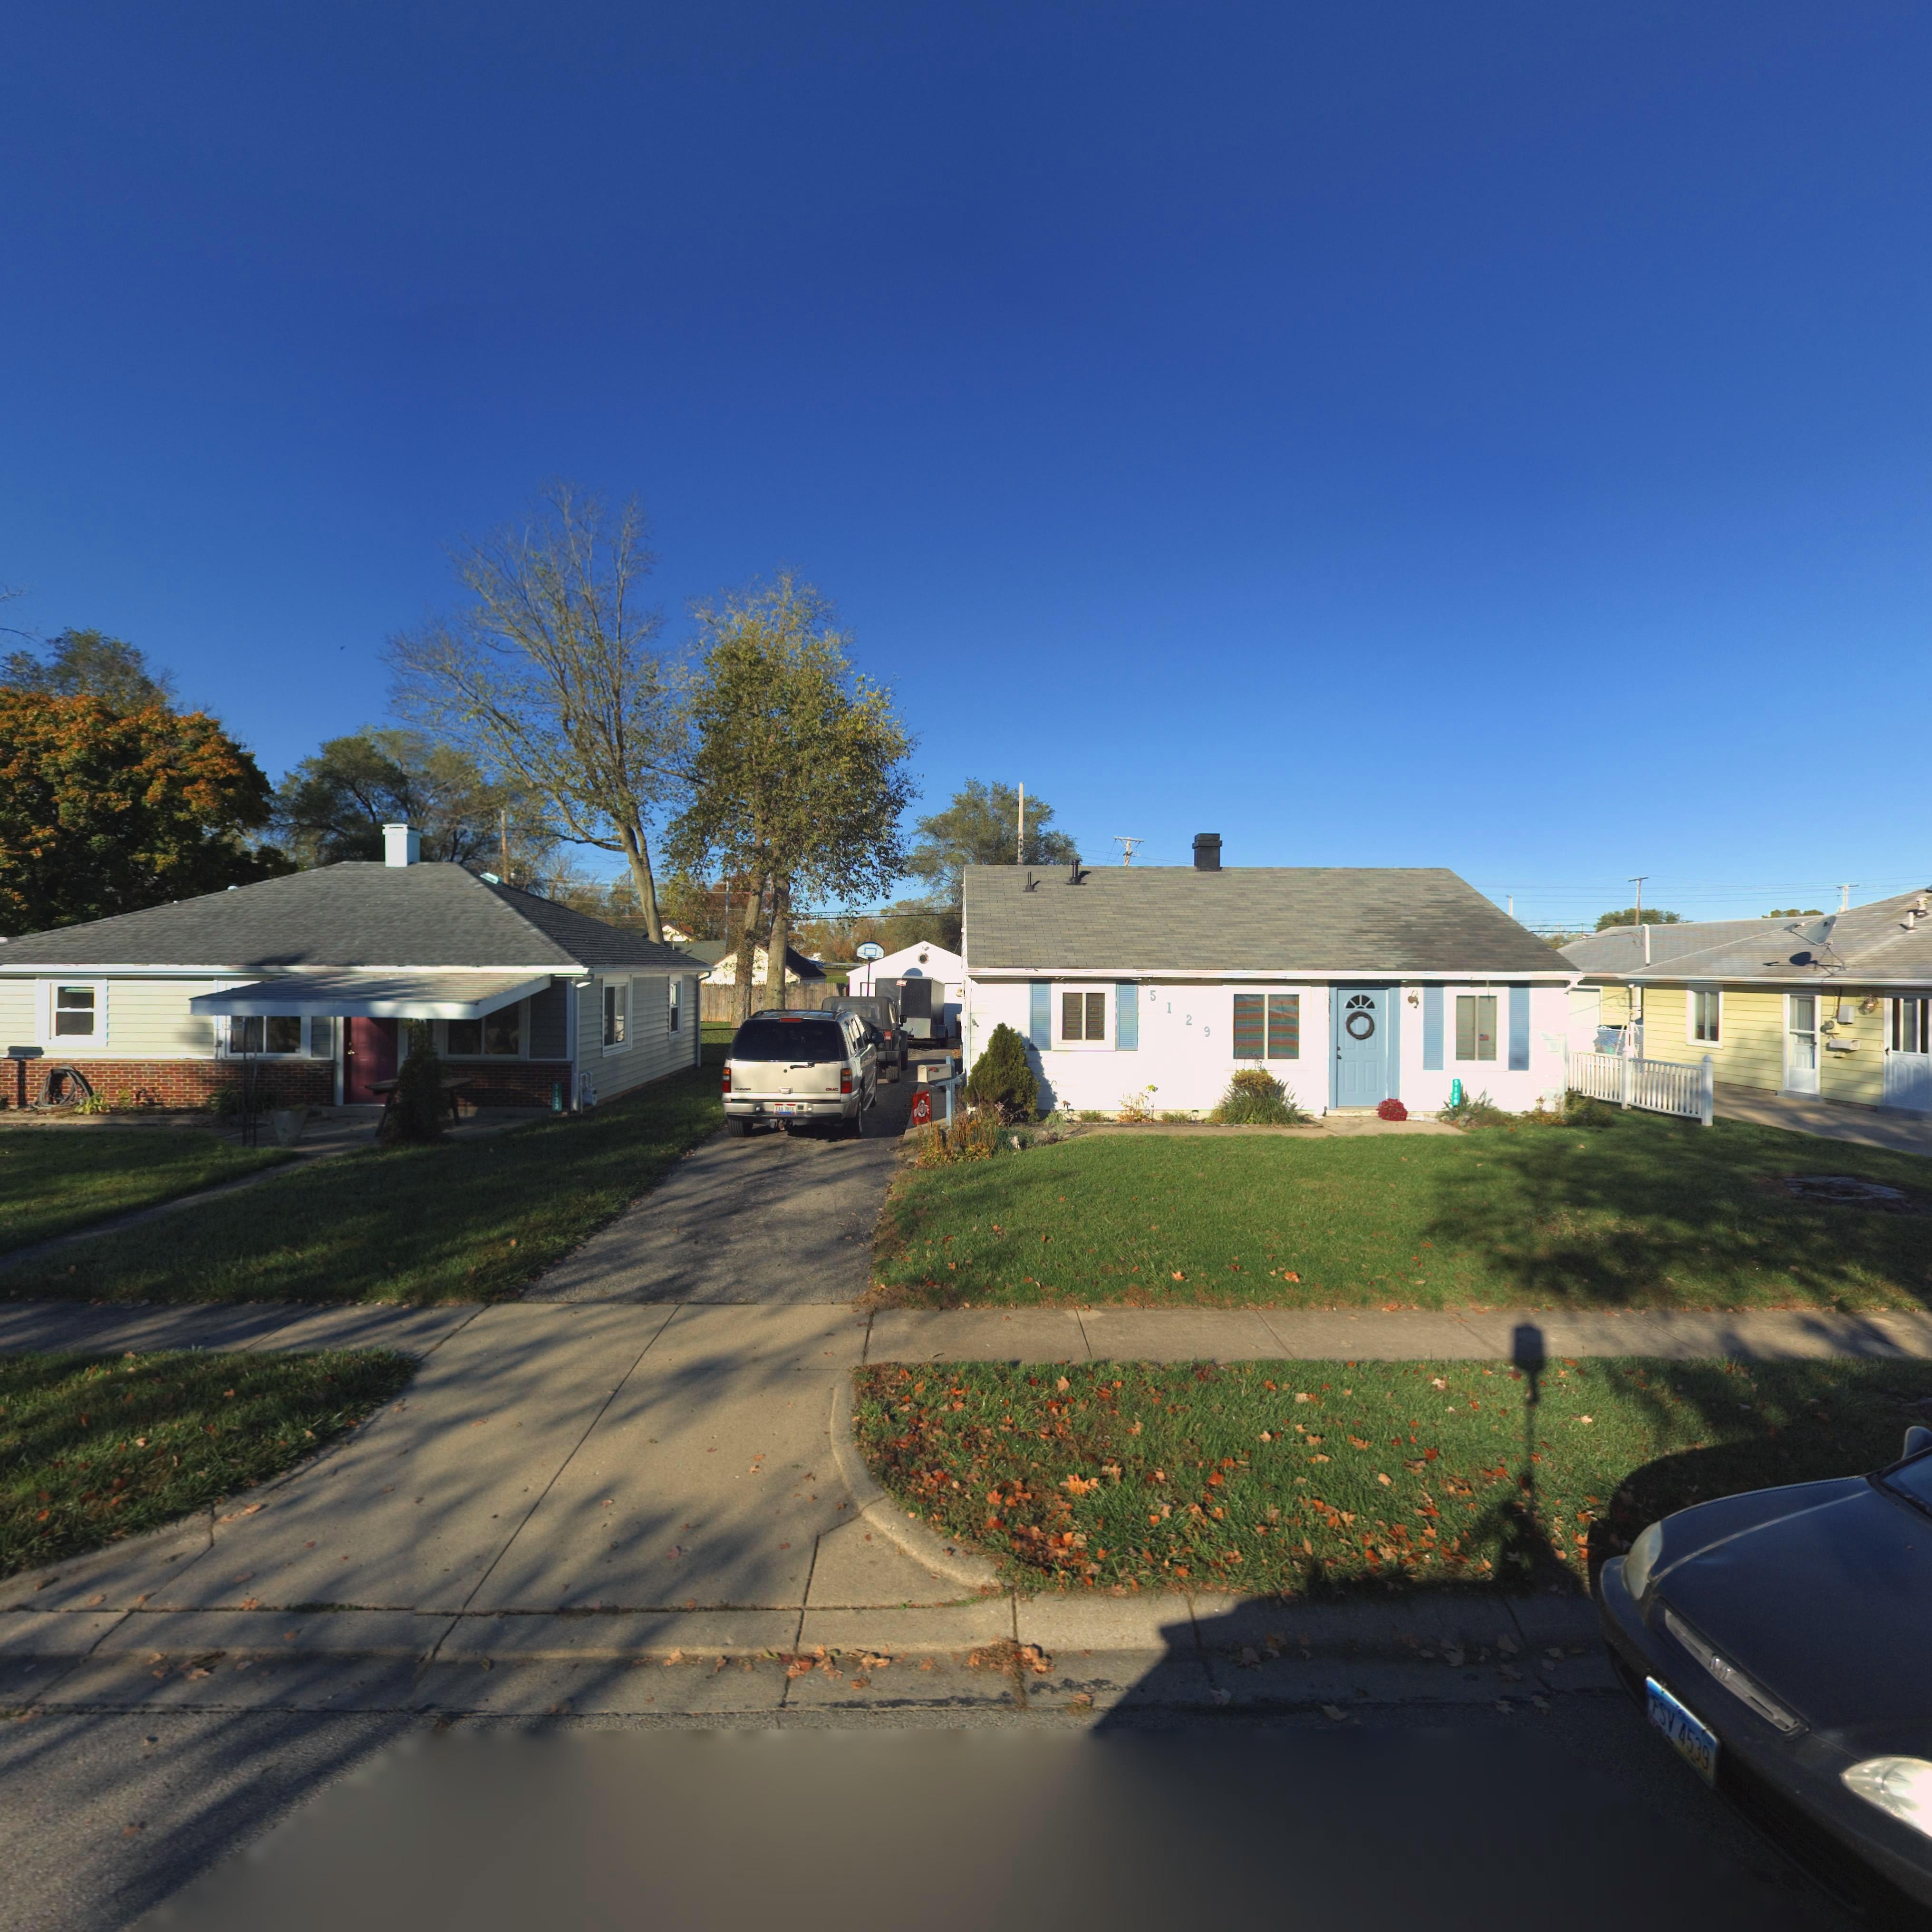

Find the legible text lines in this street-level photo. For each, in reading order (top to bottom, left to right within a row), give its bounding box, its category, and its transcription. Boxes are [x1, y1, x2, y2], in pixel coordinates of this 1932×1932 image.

[1150, 990, 1210, 1037] StreetNumber: 5129
[554, 1083, 559, 1110] StreetNumber: 5133
[1453, 1079, 1459, 1105] StreetNumber: 5129